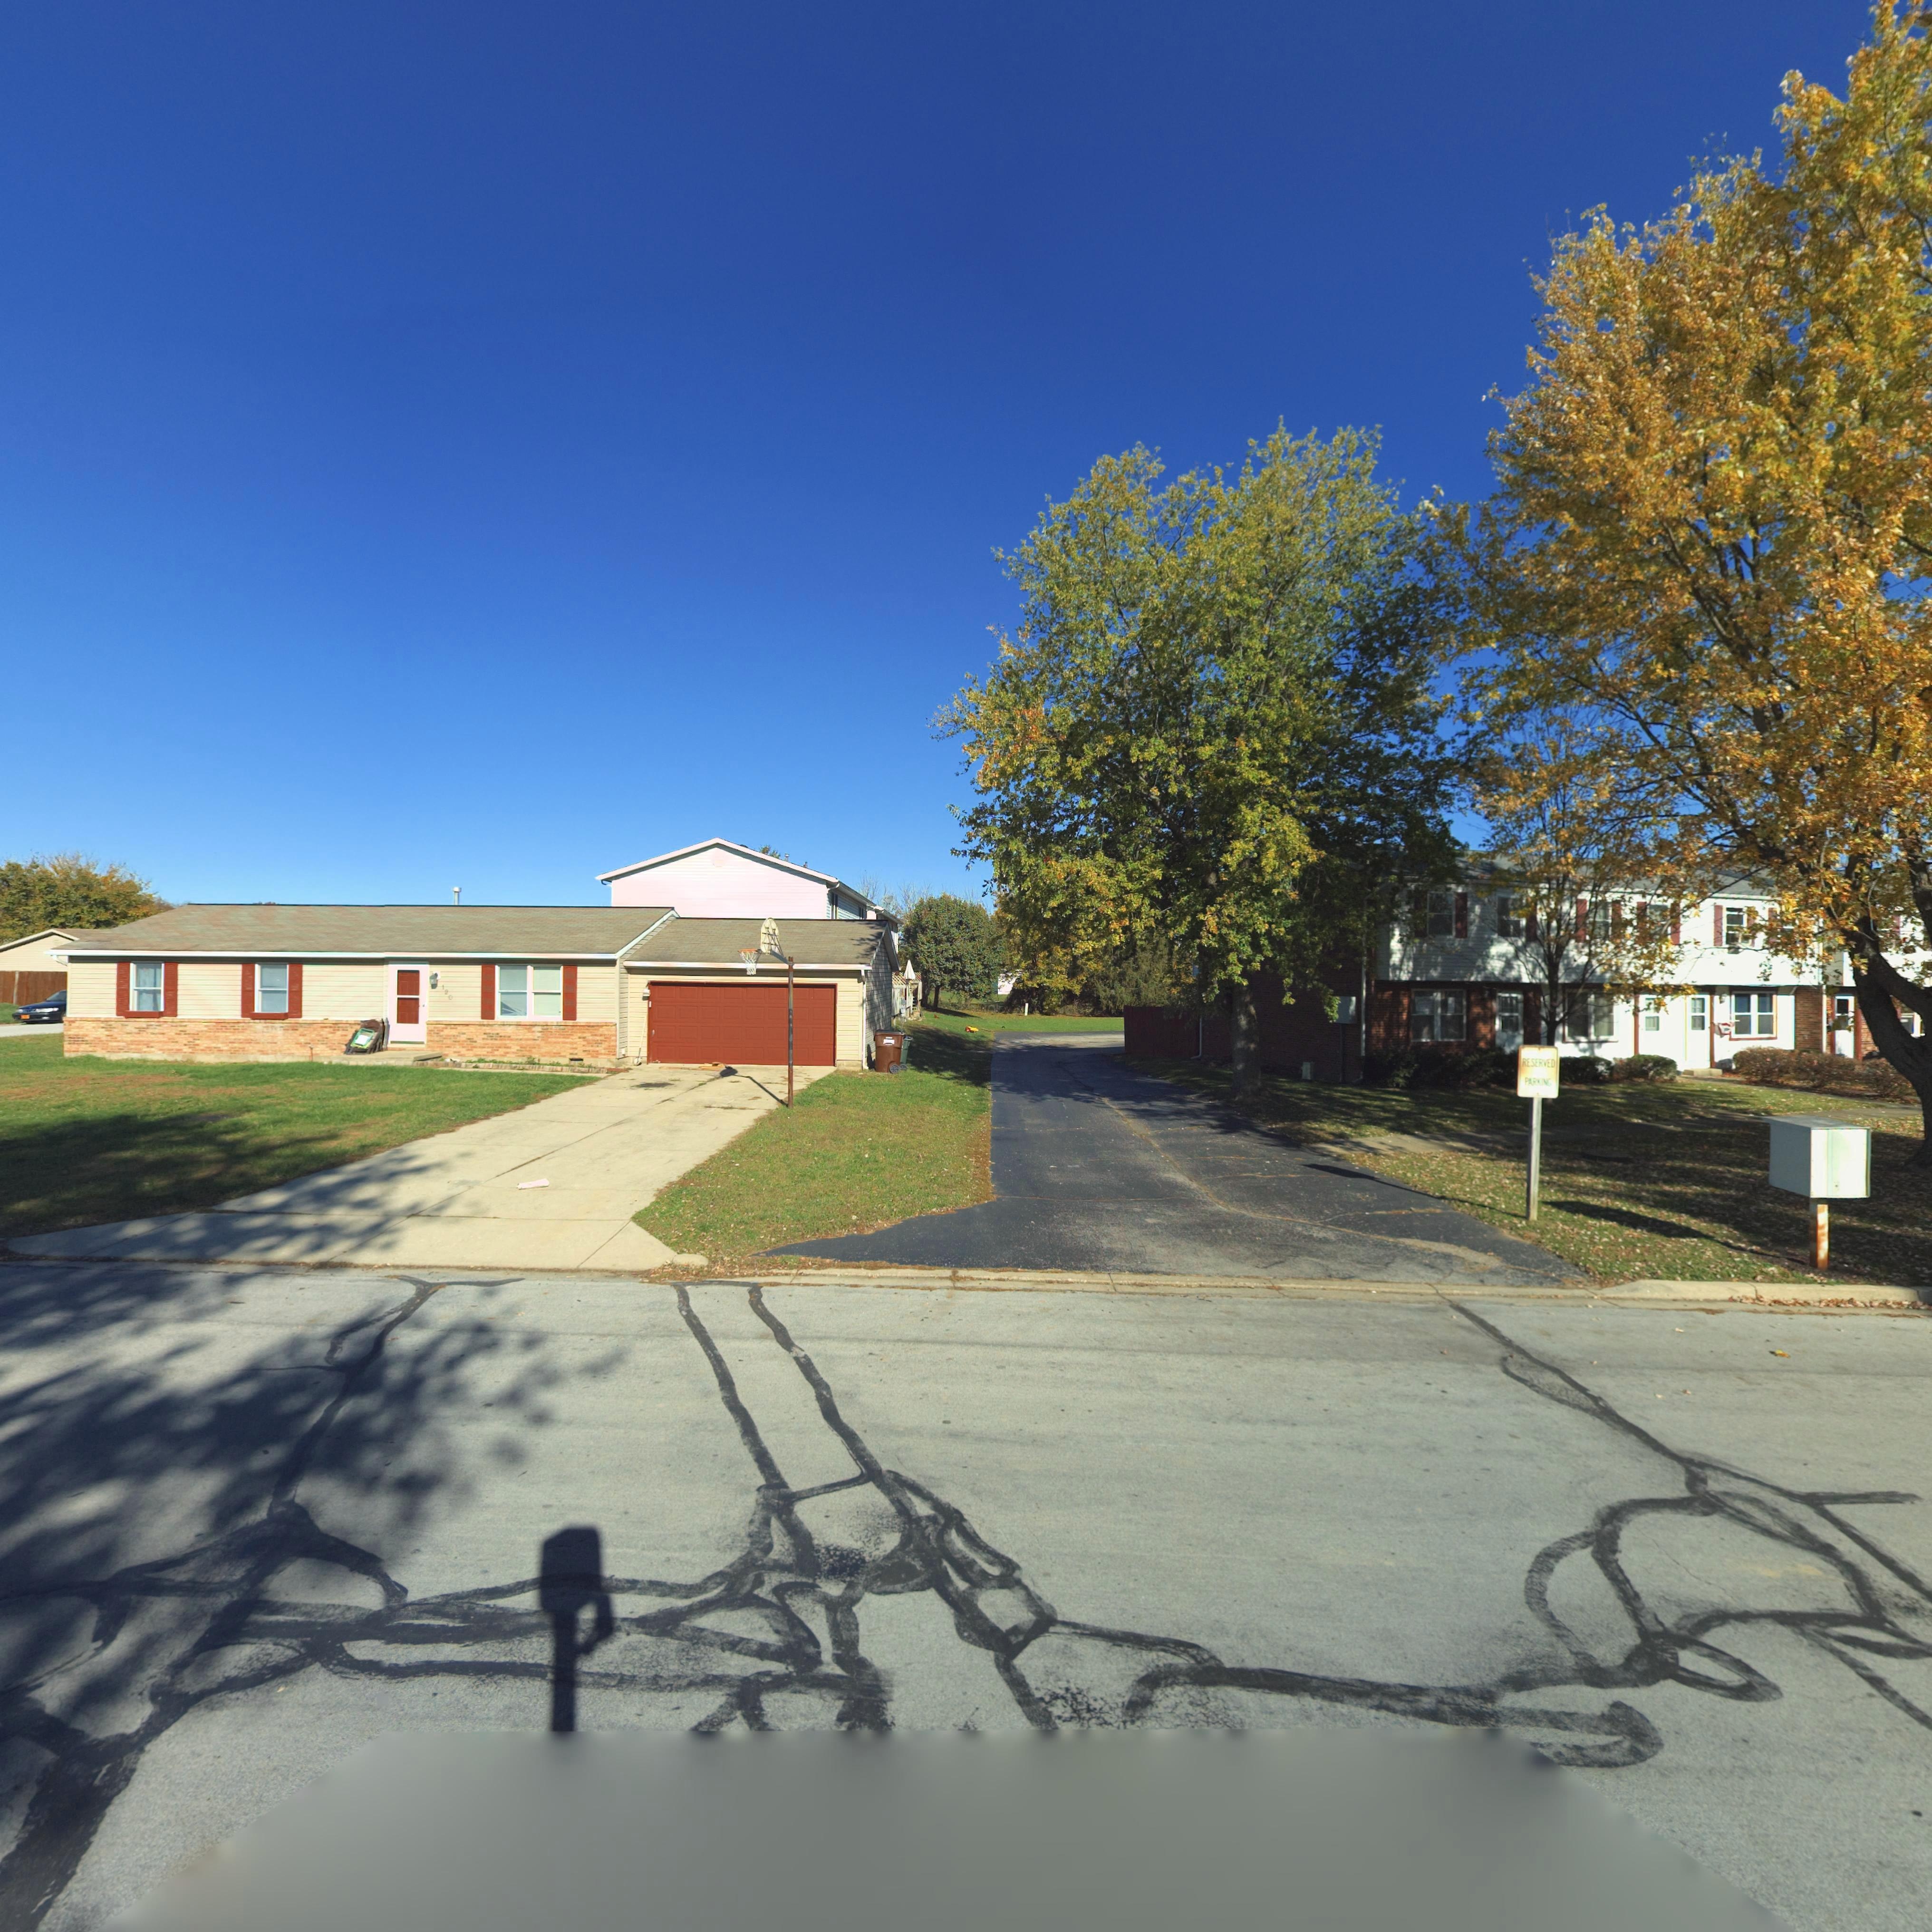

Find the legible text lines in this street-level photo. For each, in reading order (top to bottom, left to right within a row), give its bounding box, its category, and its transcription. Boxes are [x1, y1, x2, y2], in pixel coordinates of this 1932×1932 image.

[441, 983, 454, 1001] StreetNumber: 120